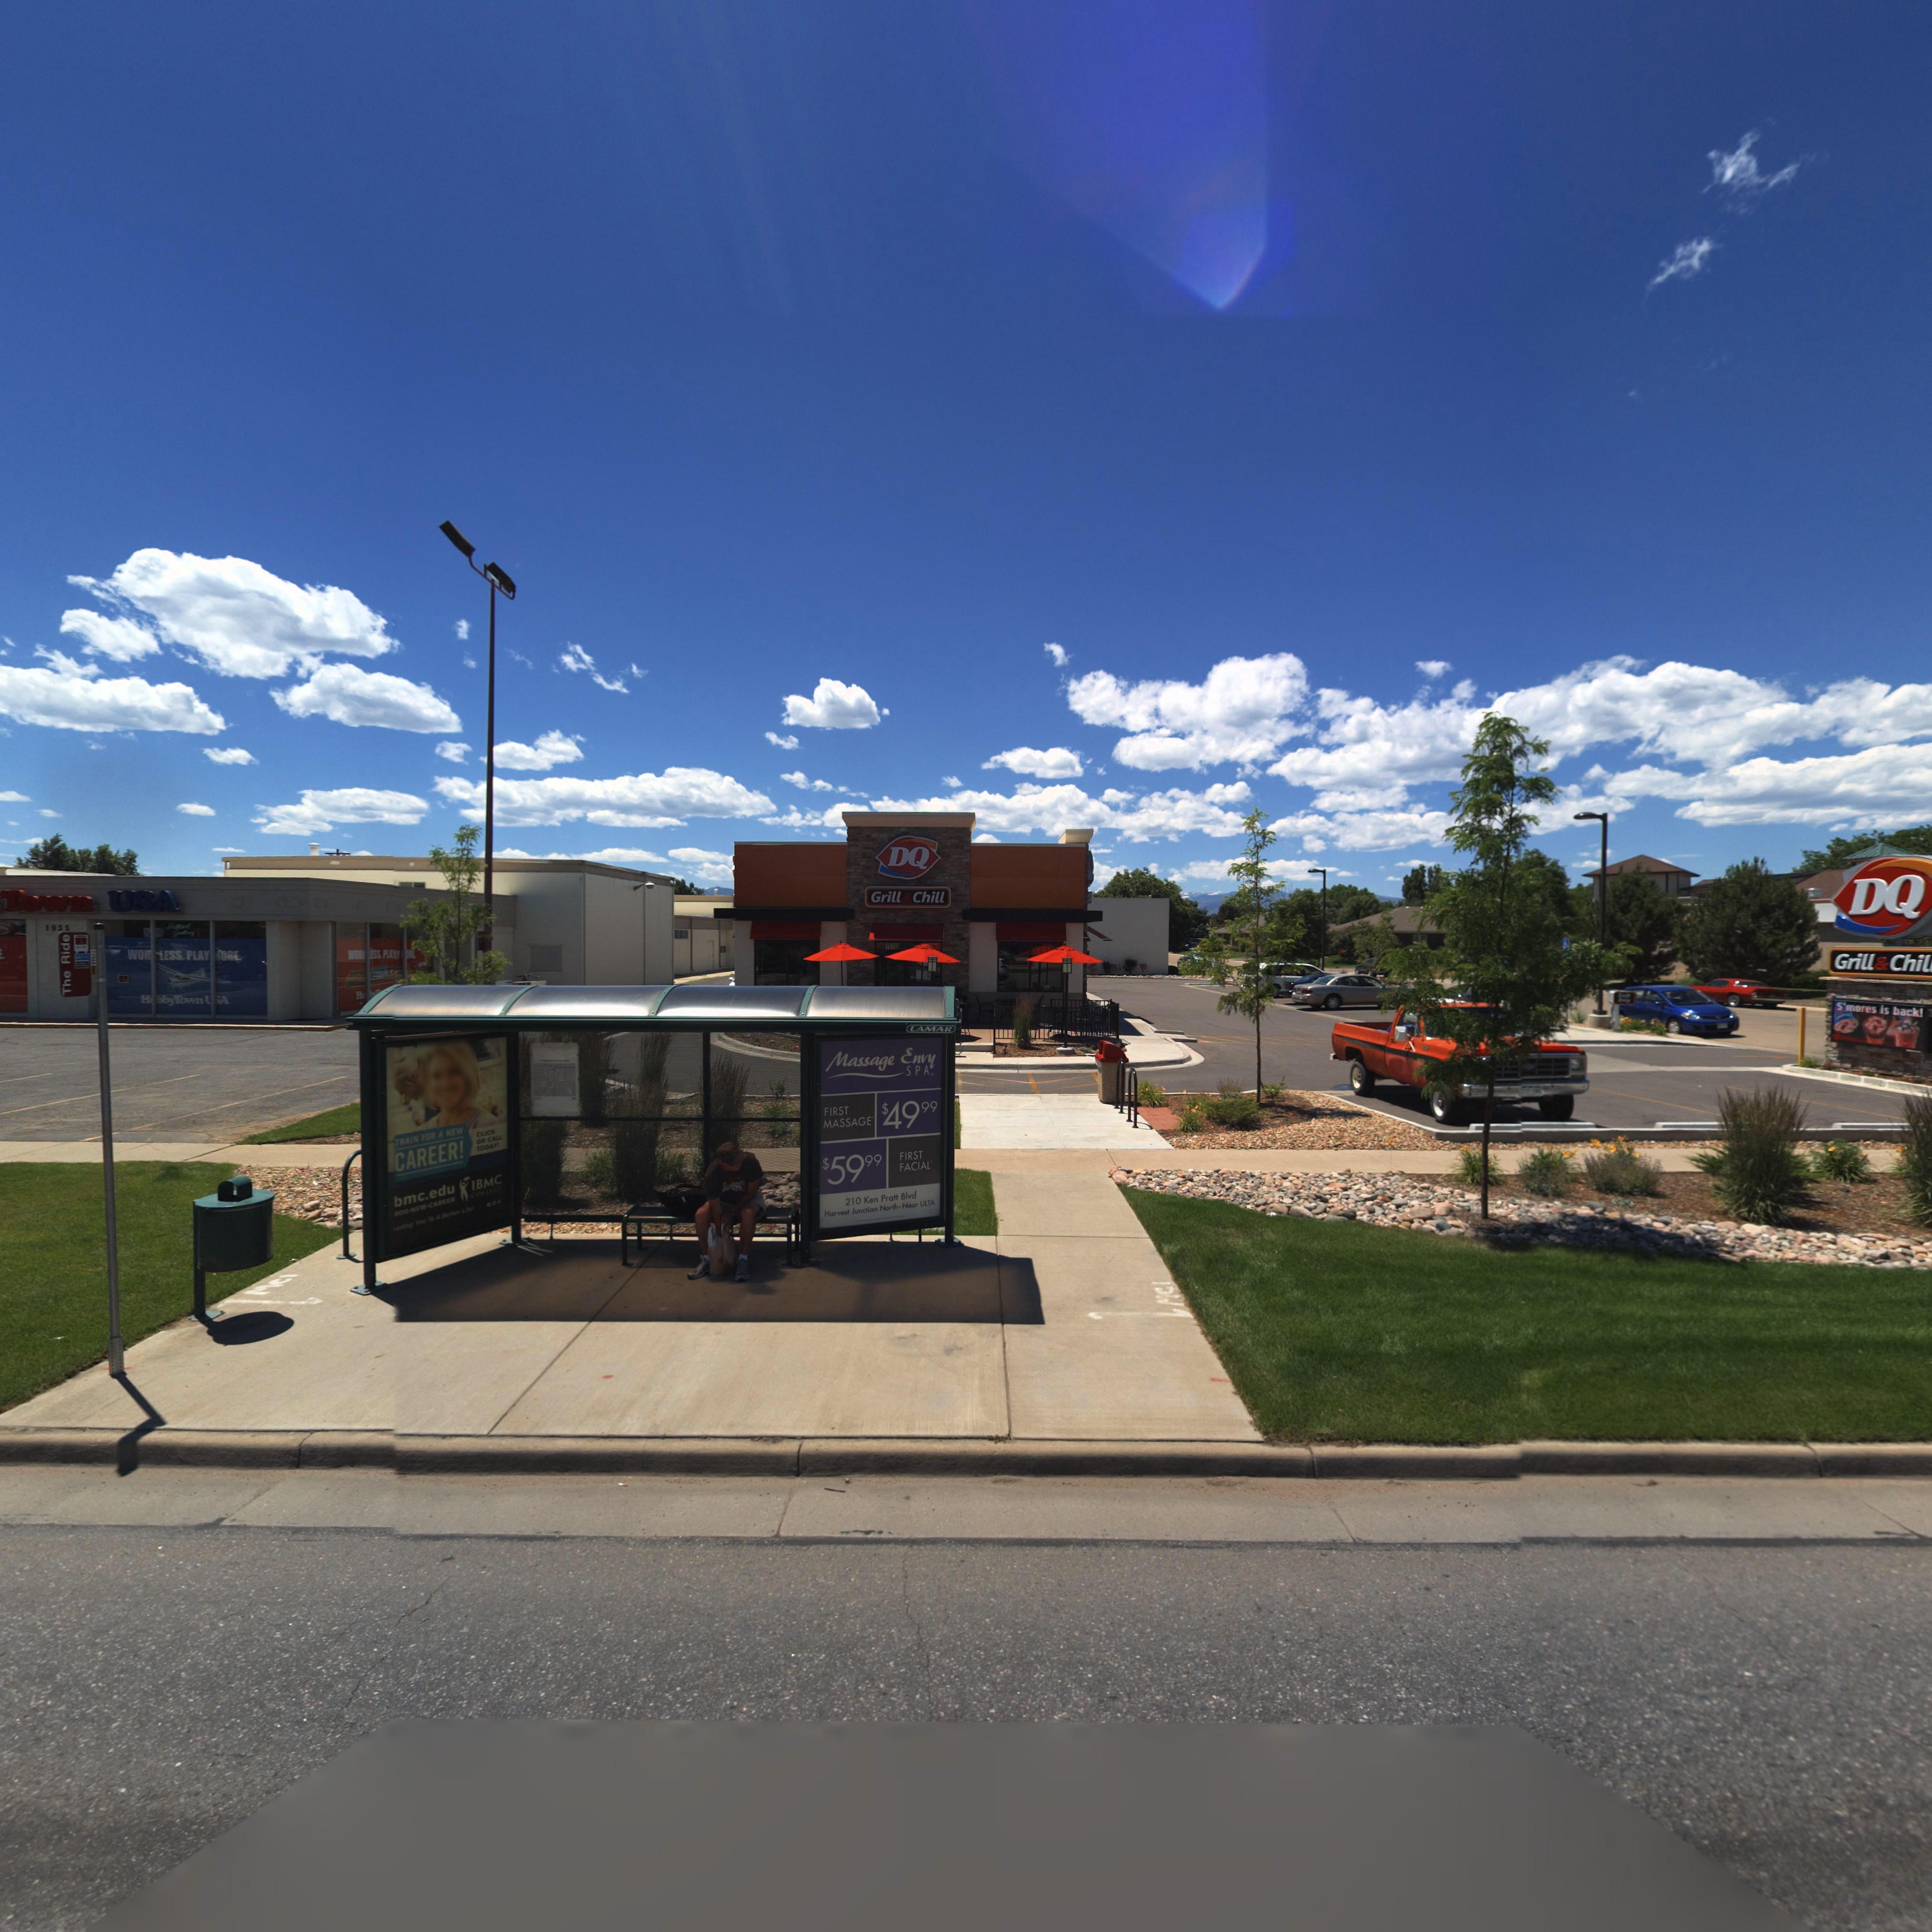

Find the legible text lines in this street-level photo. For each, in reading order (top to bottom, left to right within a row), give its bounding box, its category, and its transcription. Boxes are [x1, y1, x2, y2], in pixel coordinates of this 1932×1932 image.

[887, 845, 930, 870] BusinessName: DQ
[1, 889, 182, 913] BusinessName: Town USA
[1847, 873, 1926, 920] BusinessName: DQ
[45, 924, 70, 932] StreetNumber: 1935
[884, 944, 897, 950] StreetNumber: 1945
[140, 994, 230, 1006] BusinessName: H*bbyTown USA
[355, 988, 382, 1000] BusinessName: Ho**y*